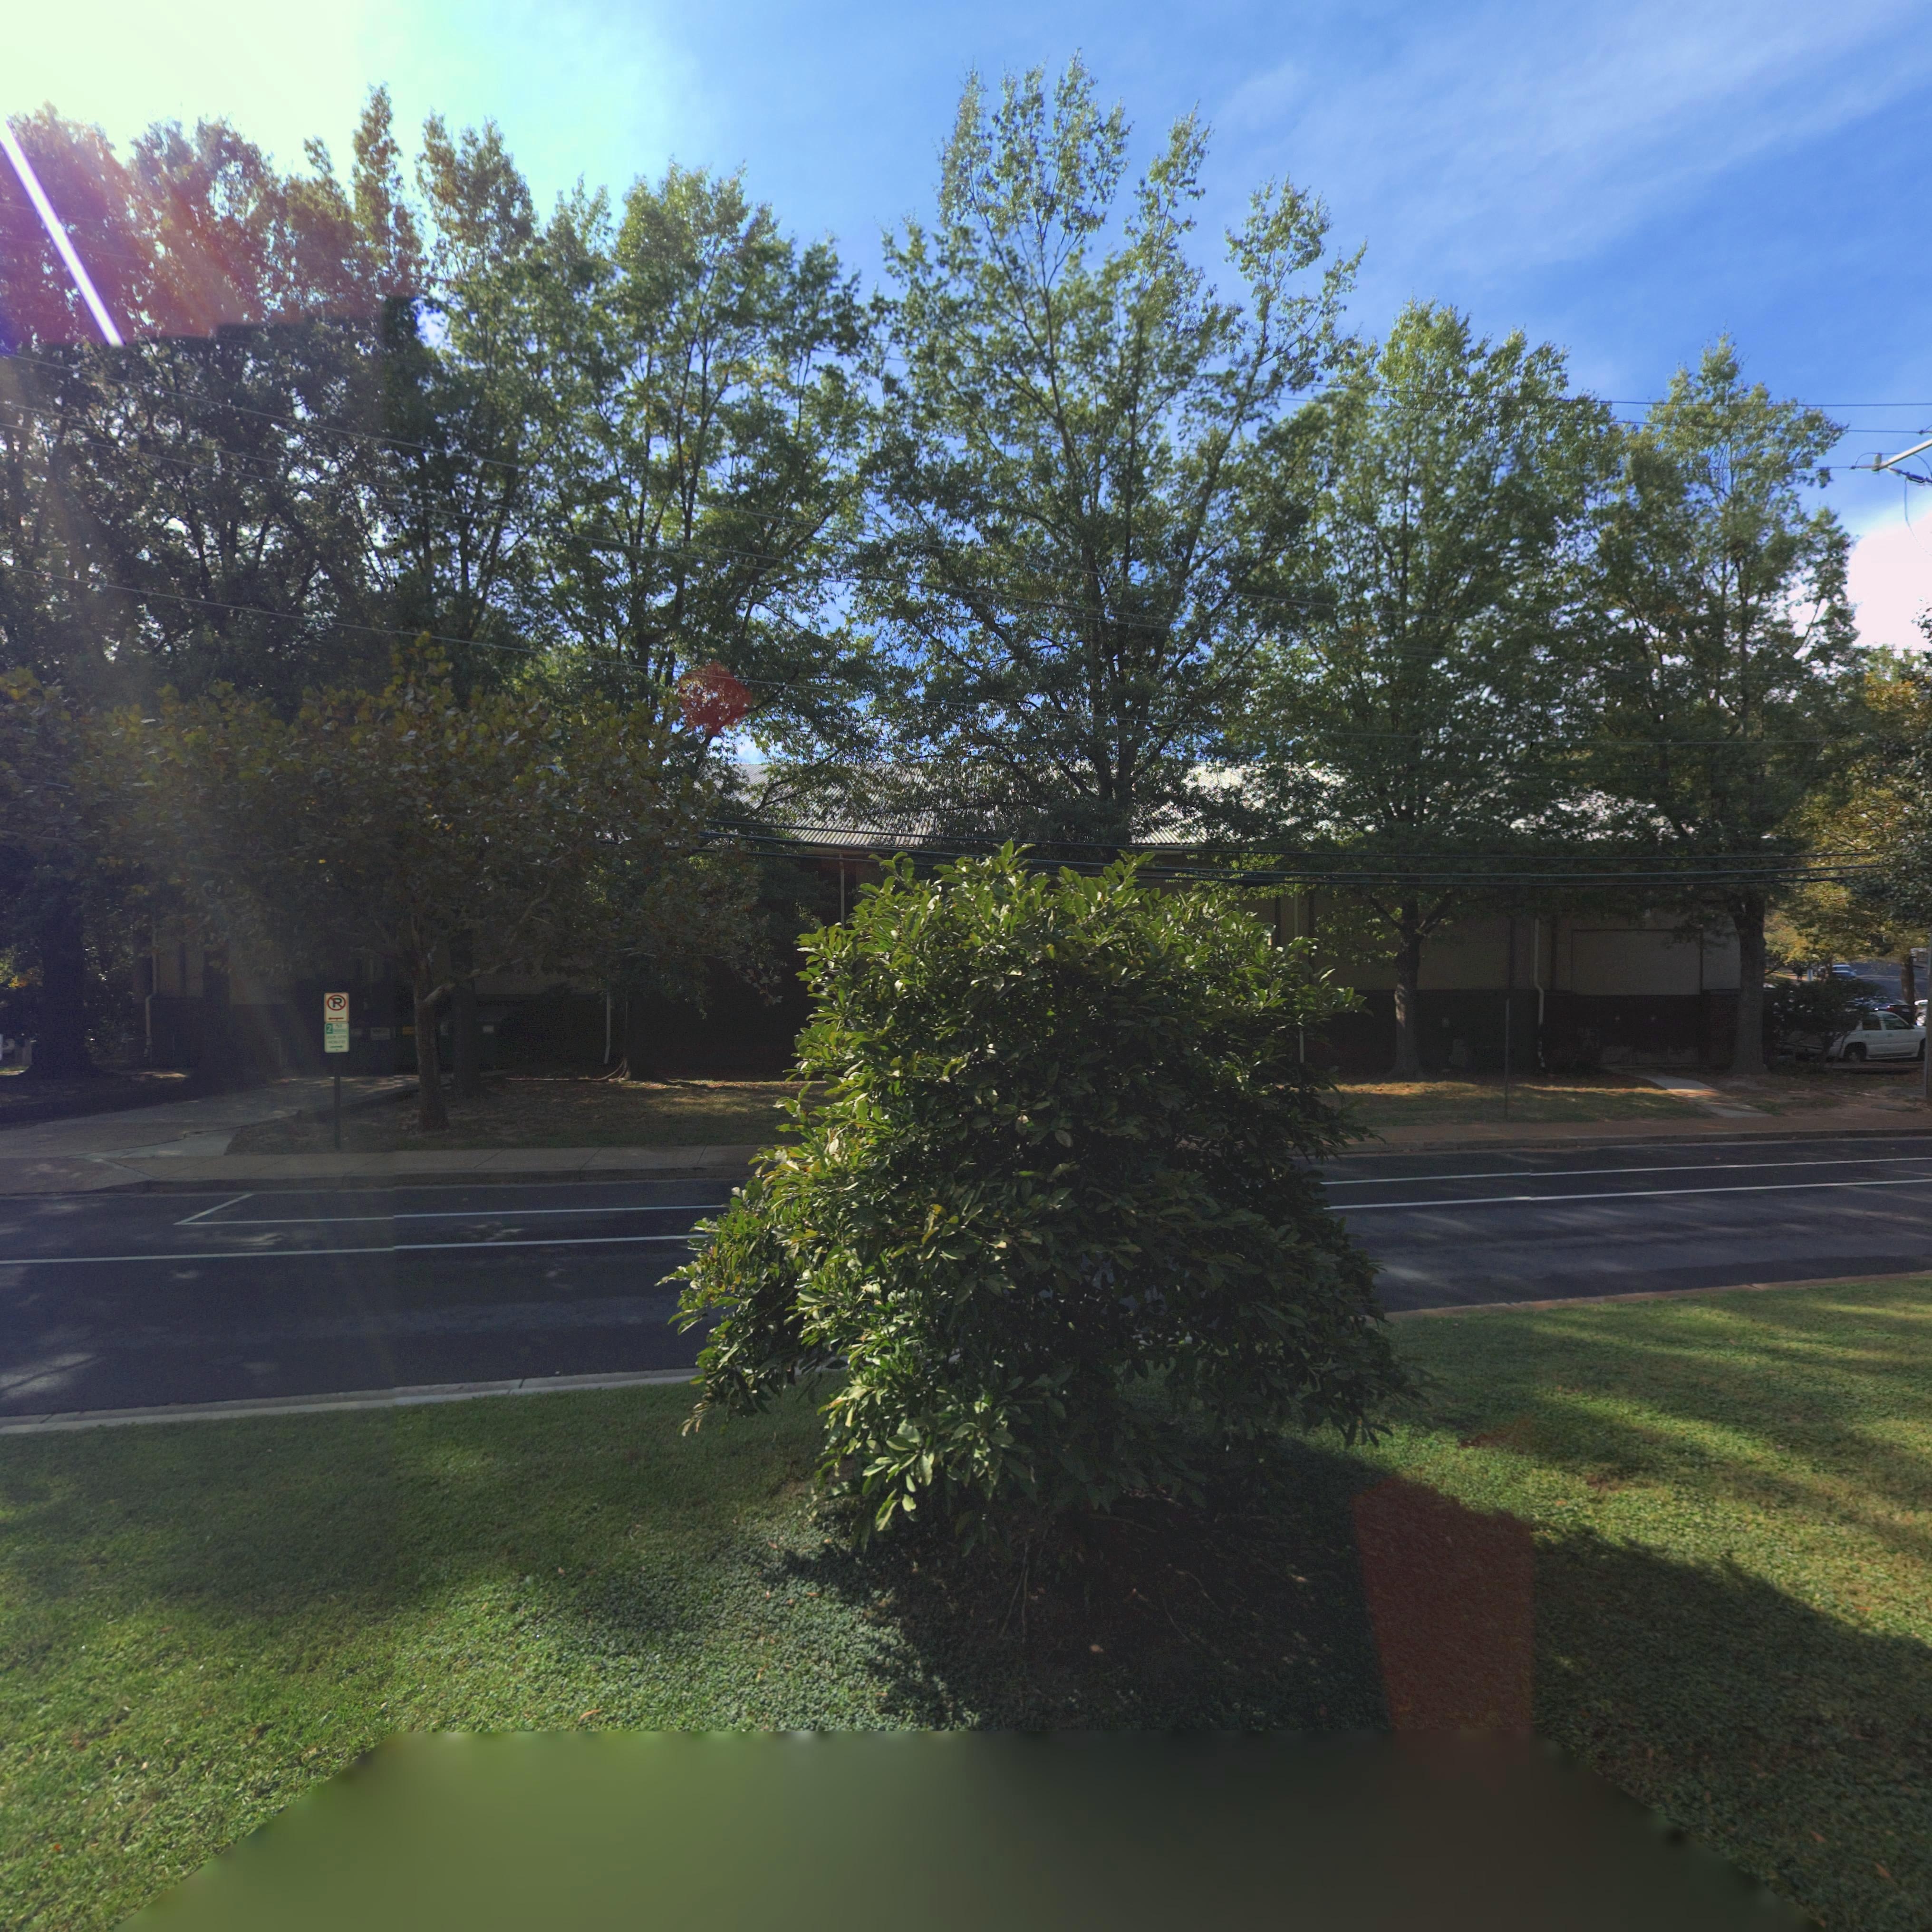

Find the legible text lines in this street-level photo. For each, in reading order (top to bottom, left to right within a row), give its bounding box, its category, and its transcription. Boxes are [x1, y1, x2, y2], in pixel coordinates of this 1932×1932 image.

[326, 1024, 332, 1033] None: 2